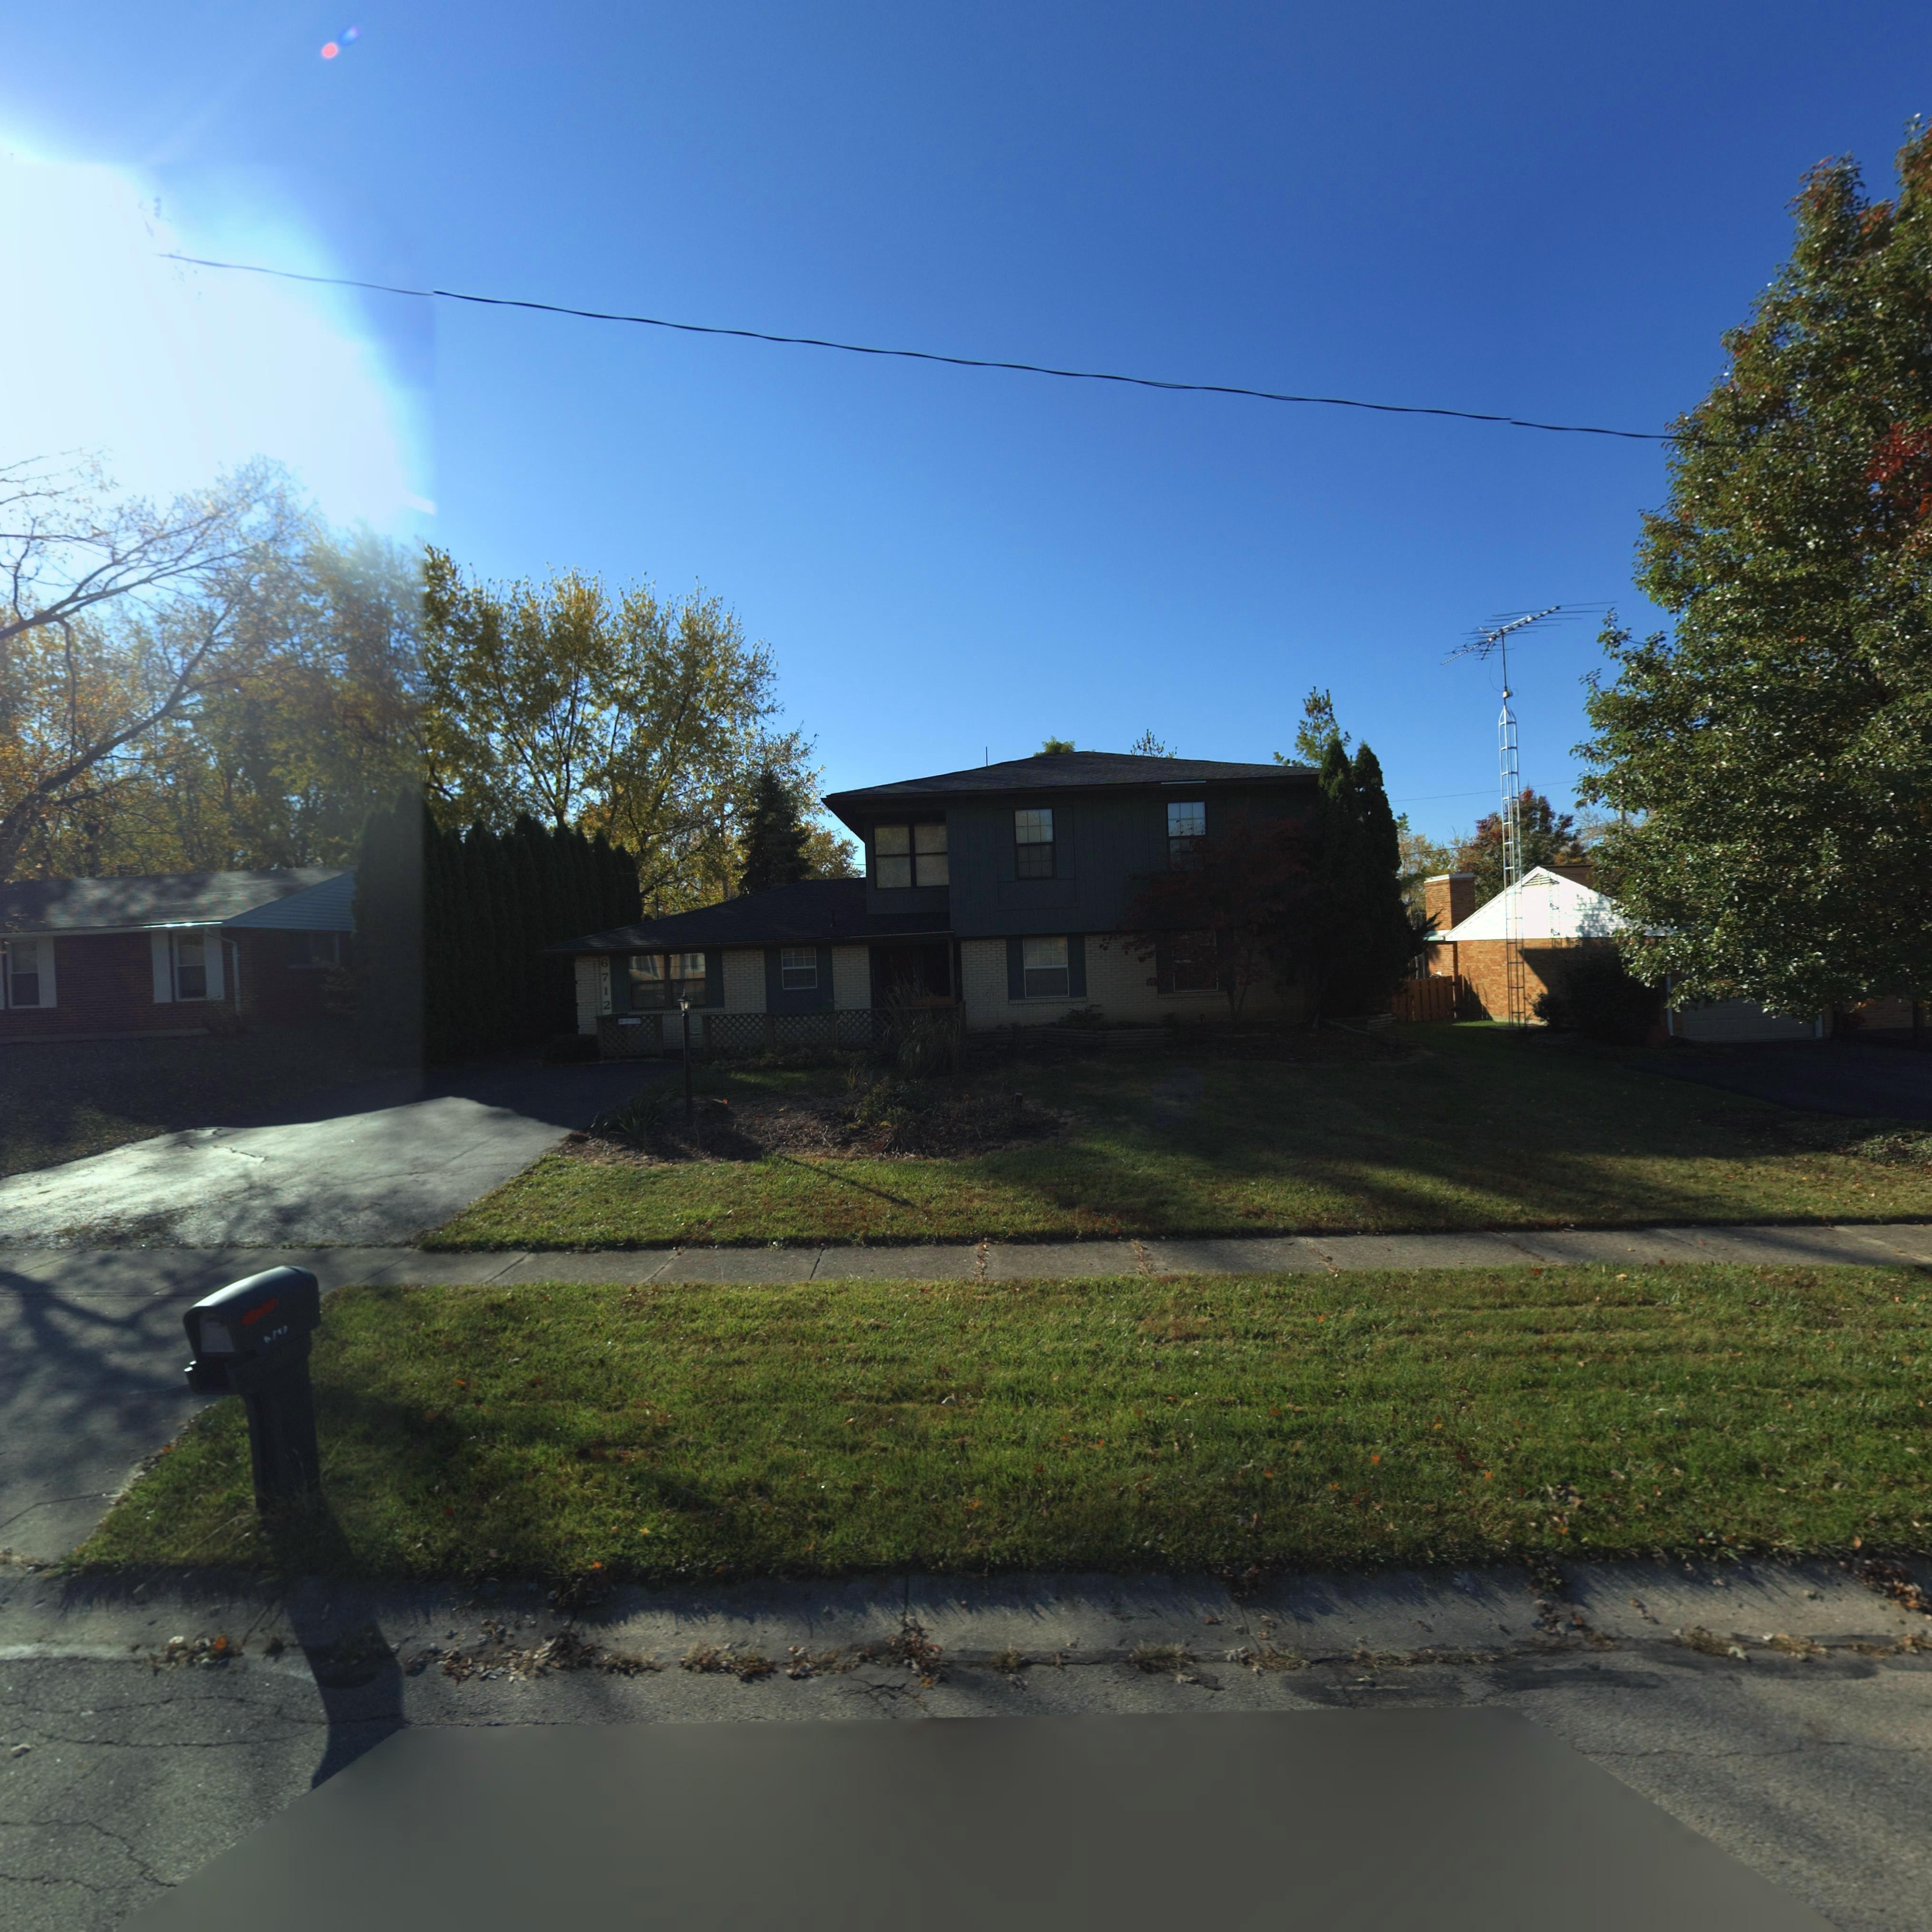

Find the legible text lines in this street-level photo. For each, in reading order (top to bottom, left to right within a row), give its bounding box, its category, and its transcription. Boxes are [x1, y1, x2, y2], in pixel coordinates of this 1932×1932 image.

[599, 957, 612, 1011] StreetNumber: 6712